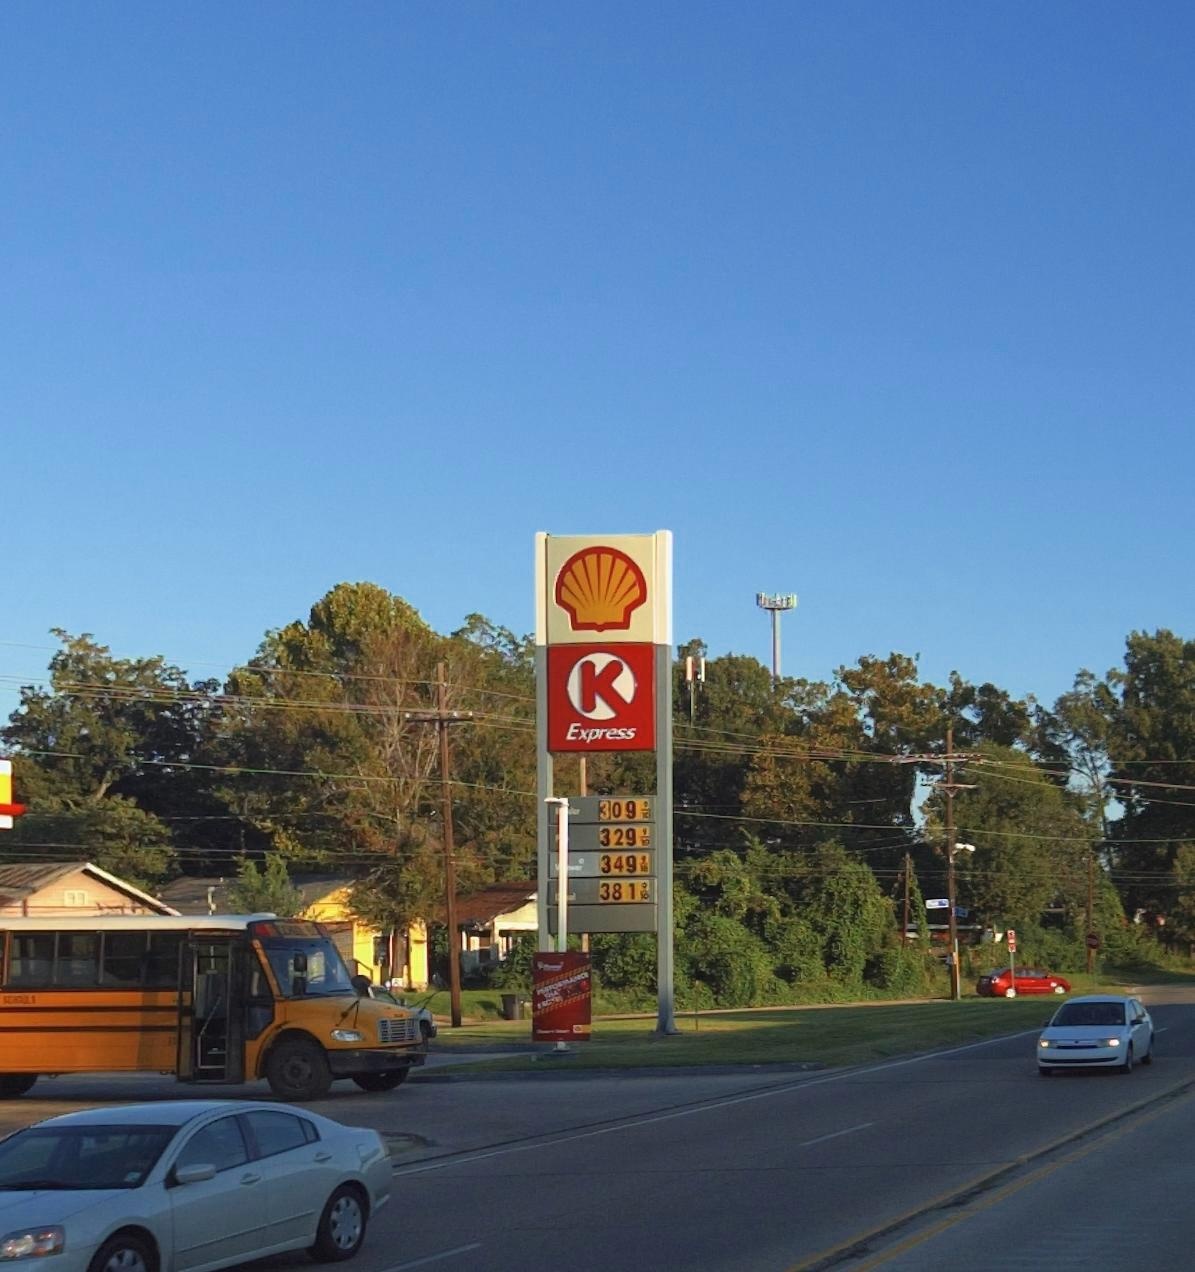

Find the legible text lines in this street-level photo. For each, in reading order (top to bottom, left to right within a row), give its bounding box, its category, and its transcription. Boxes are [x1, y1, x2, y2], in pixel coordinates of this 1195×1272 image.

[578, 657, 632, 715] BusinessName: K
[561, 719, 640, 747] BusinessName: Express
[597, 798, 653, 822] None: 309 9/10
[598, 826, 652, 850] None: 329 9/10
[599, 852, 651, 877] None: 349 9/10
[598, 880, 651, 903] None: 381 9/10